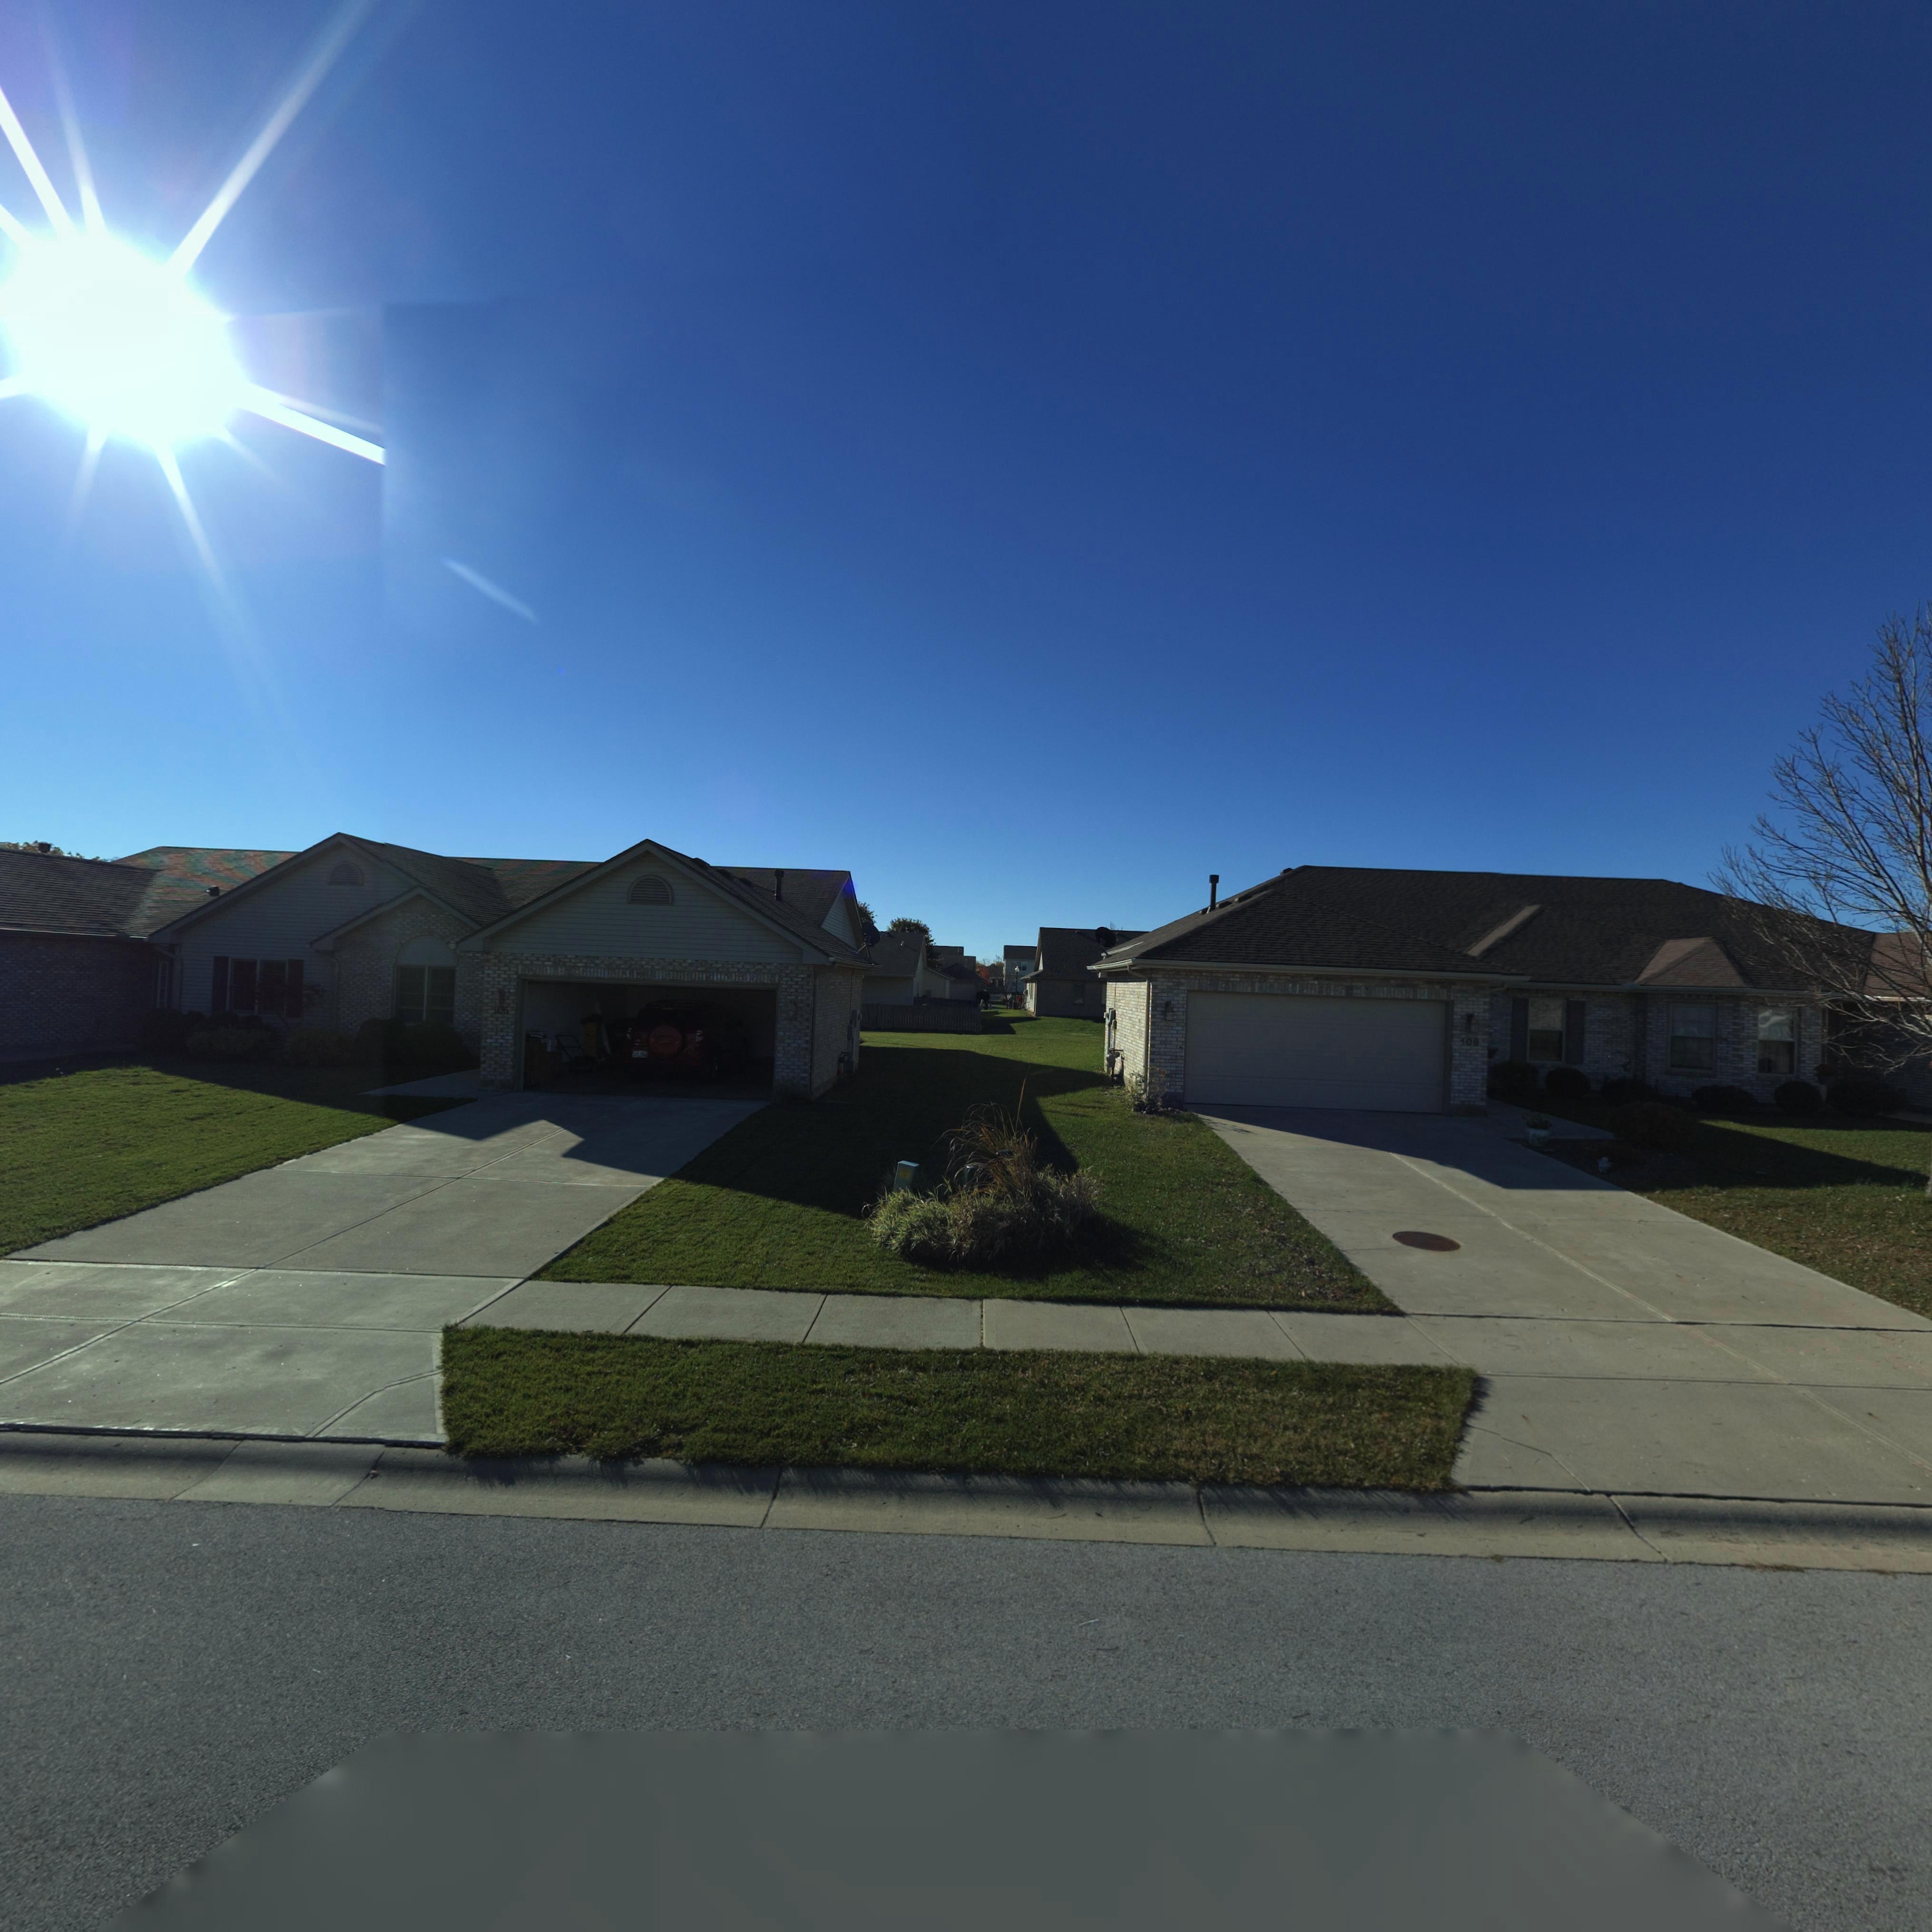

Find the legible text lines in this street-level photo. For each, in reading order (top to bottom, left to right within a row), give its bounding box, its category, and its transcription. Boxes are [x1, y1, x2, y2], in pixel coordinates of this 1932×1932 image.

[503, 1005, 510, 1015] StreetNumber: 6
[1460, 1037, 1479, 1047] StreetNumber: 108